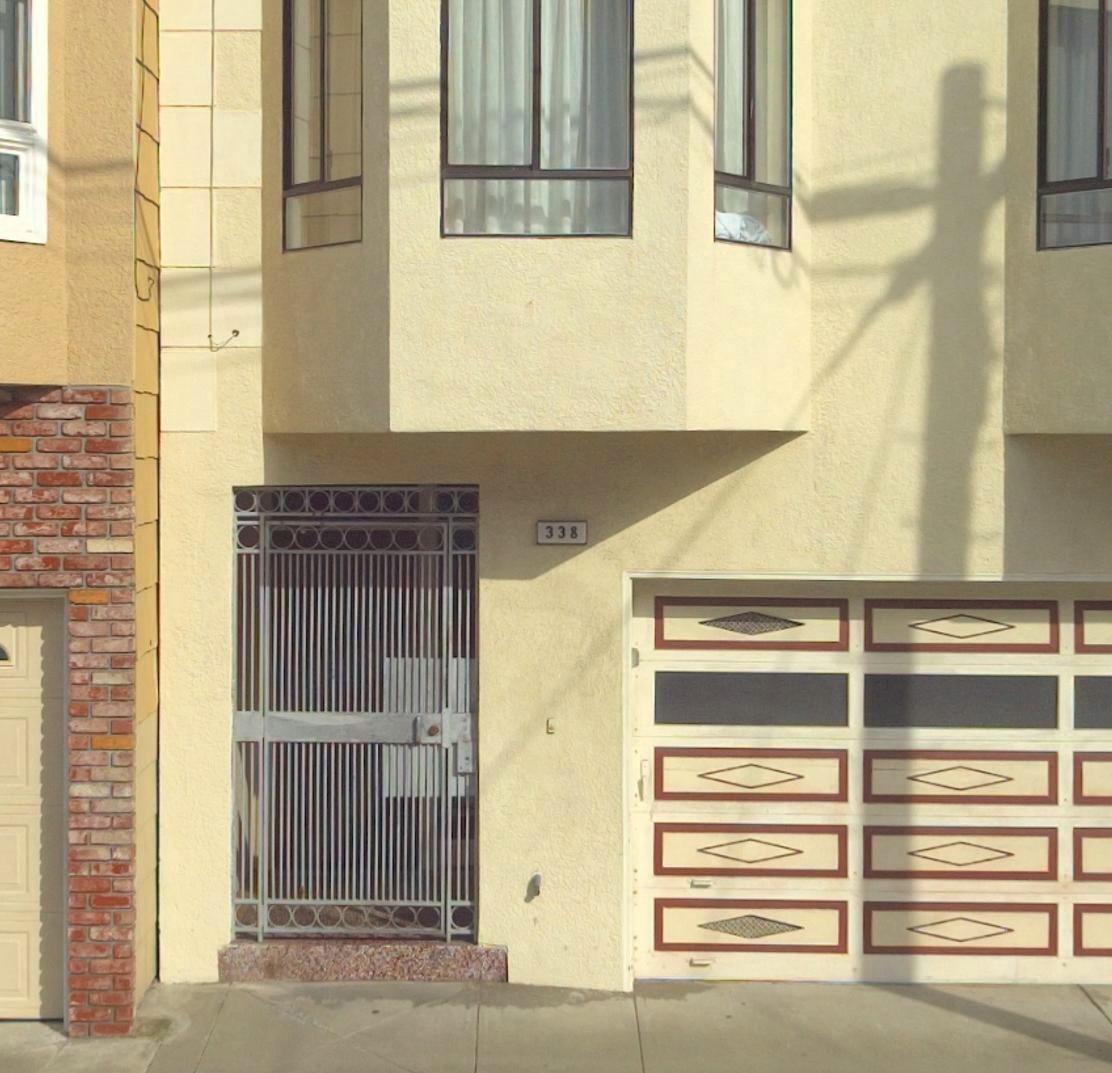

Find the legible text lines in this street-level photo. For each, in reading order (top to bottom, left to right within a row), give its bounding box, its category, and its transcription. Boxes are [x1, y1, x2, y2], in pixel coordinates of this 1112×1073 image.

[544, 524, 579, 540] StreetNumber: 338